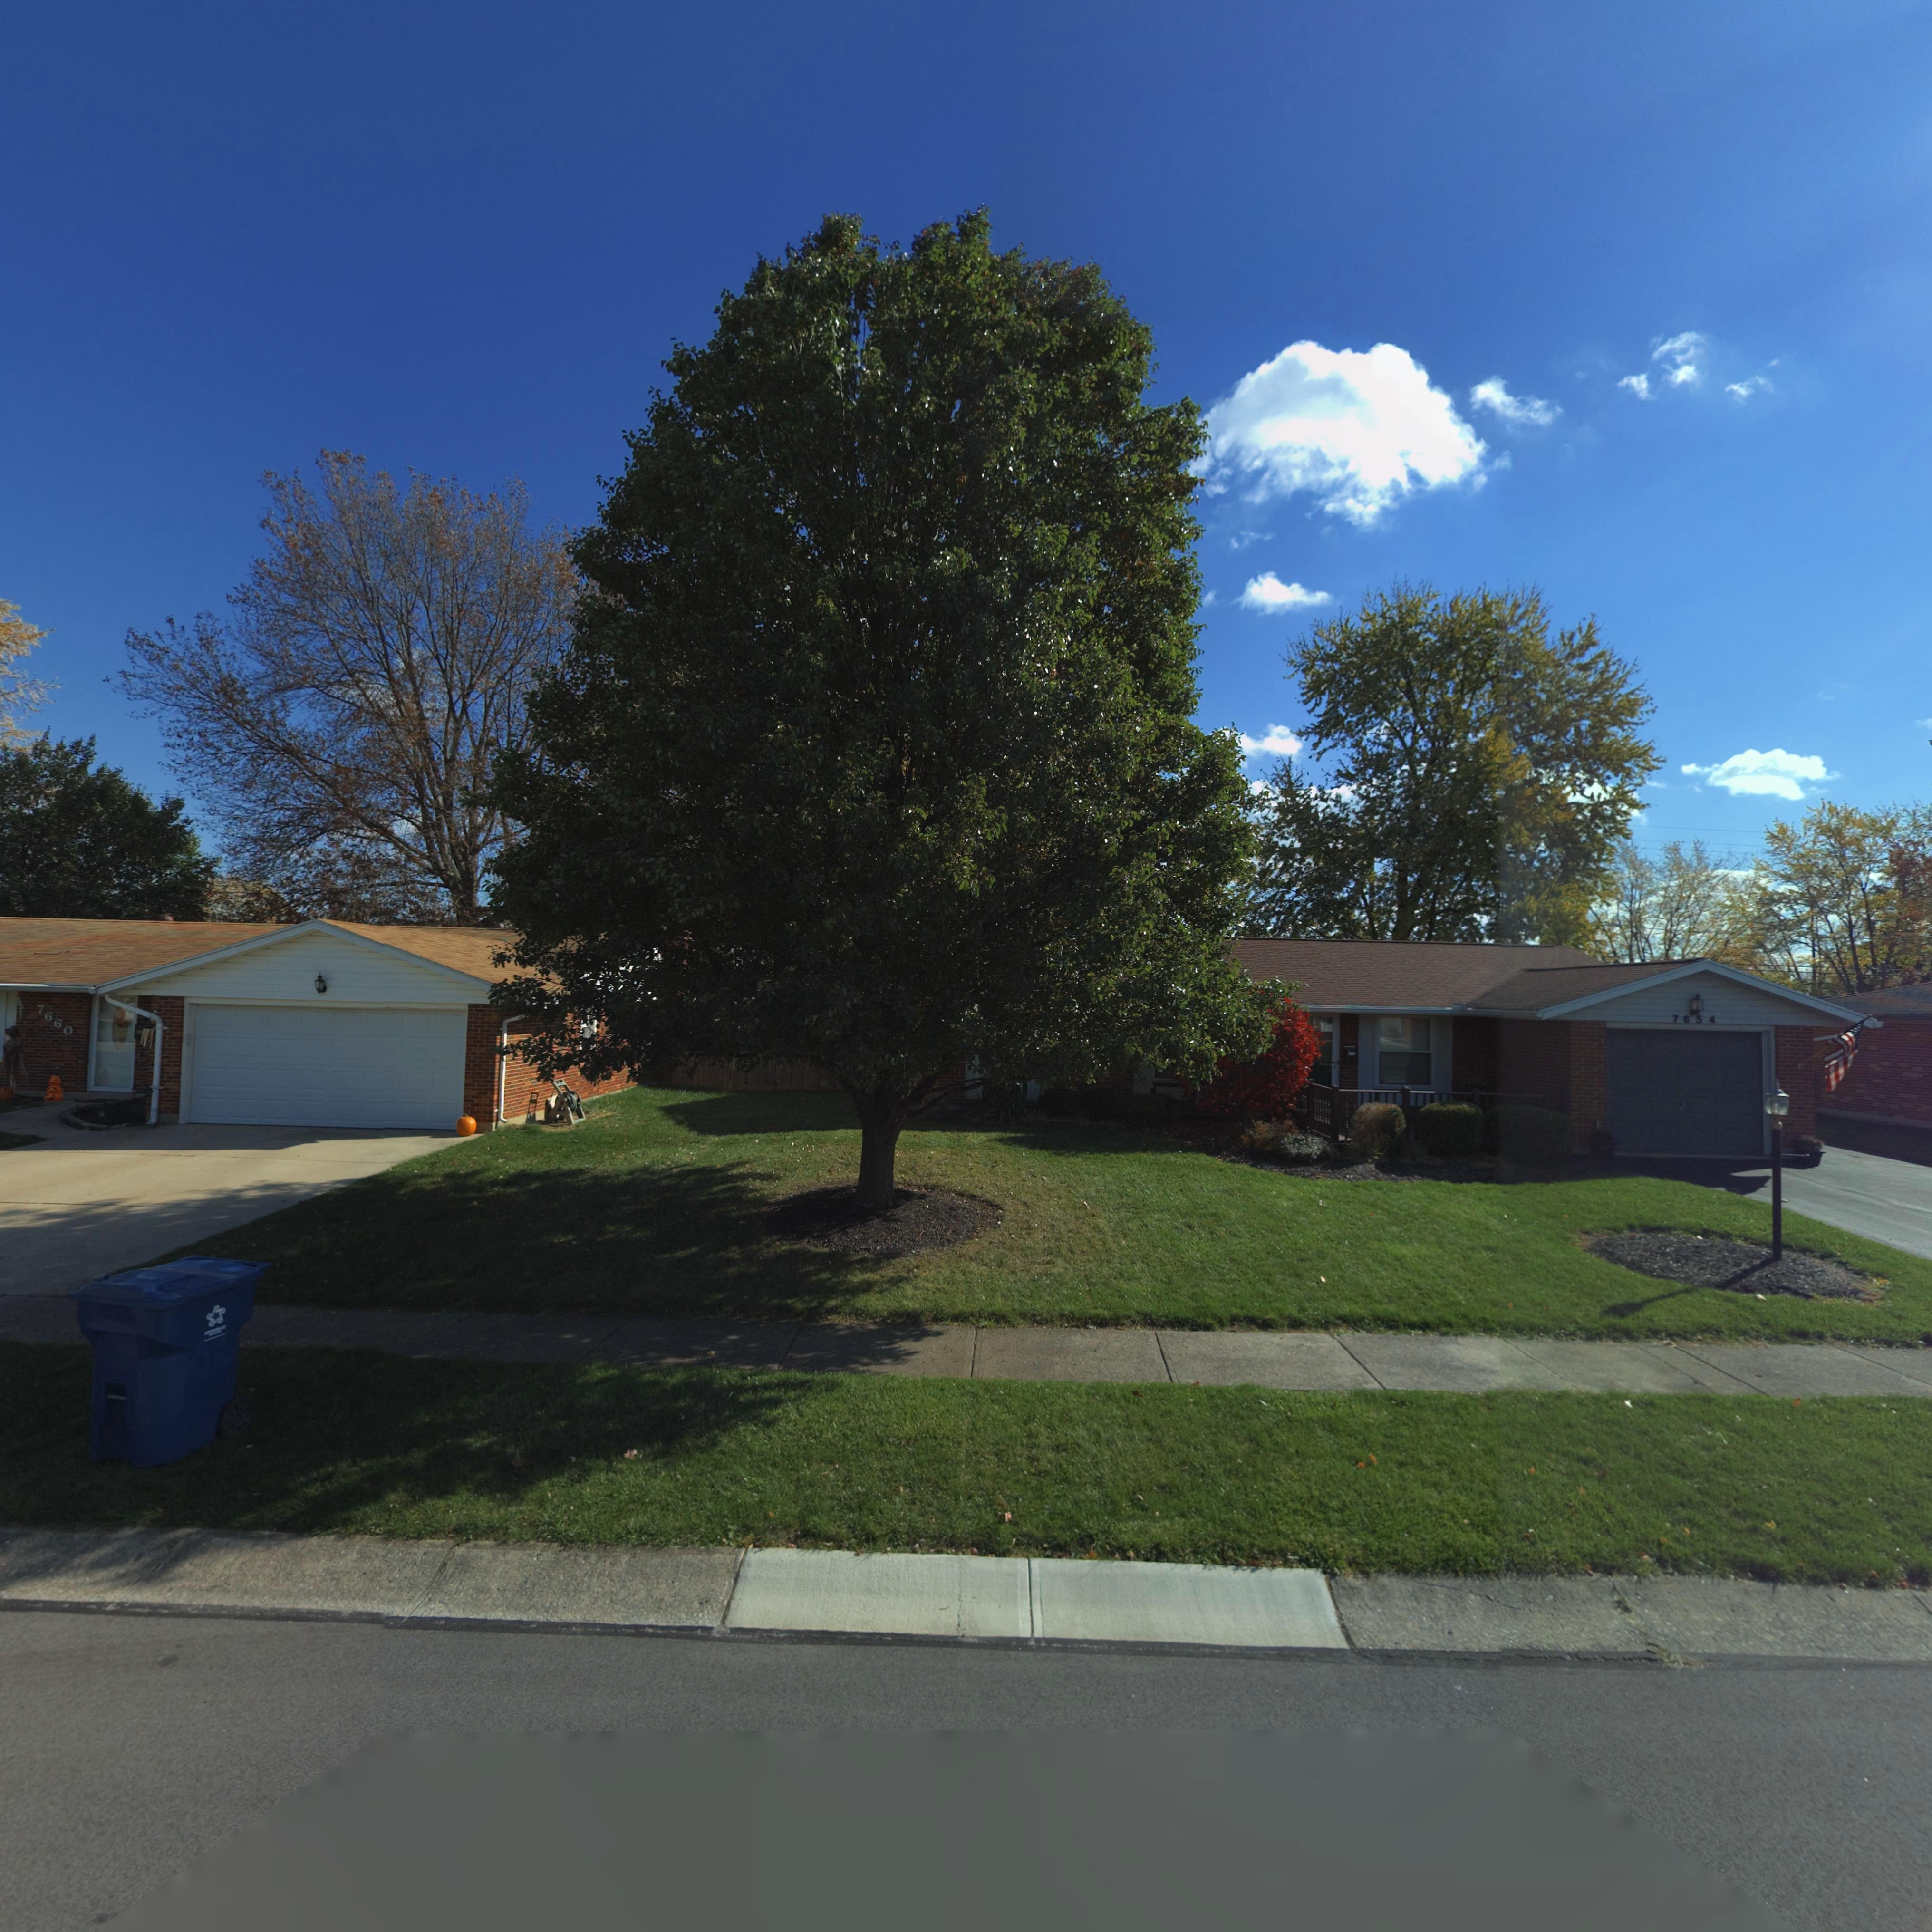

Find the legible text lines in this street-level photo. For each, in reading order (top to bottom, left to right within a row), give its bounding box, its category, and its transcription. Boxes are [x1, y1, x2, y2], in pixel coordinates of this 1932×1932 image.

[36, 1004, 75, 1037] StreetNumber: 7660
[1671, 1014, 1717, 1025] StreetNumber: 7654